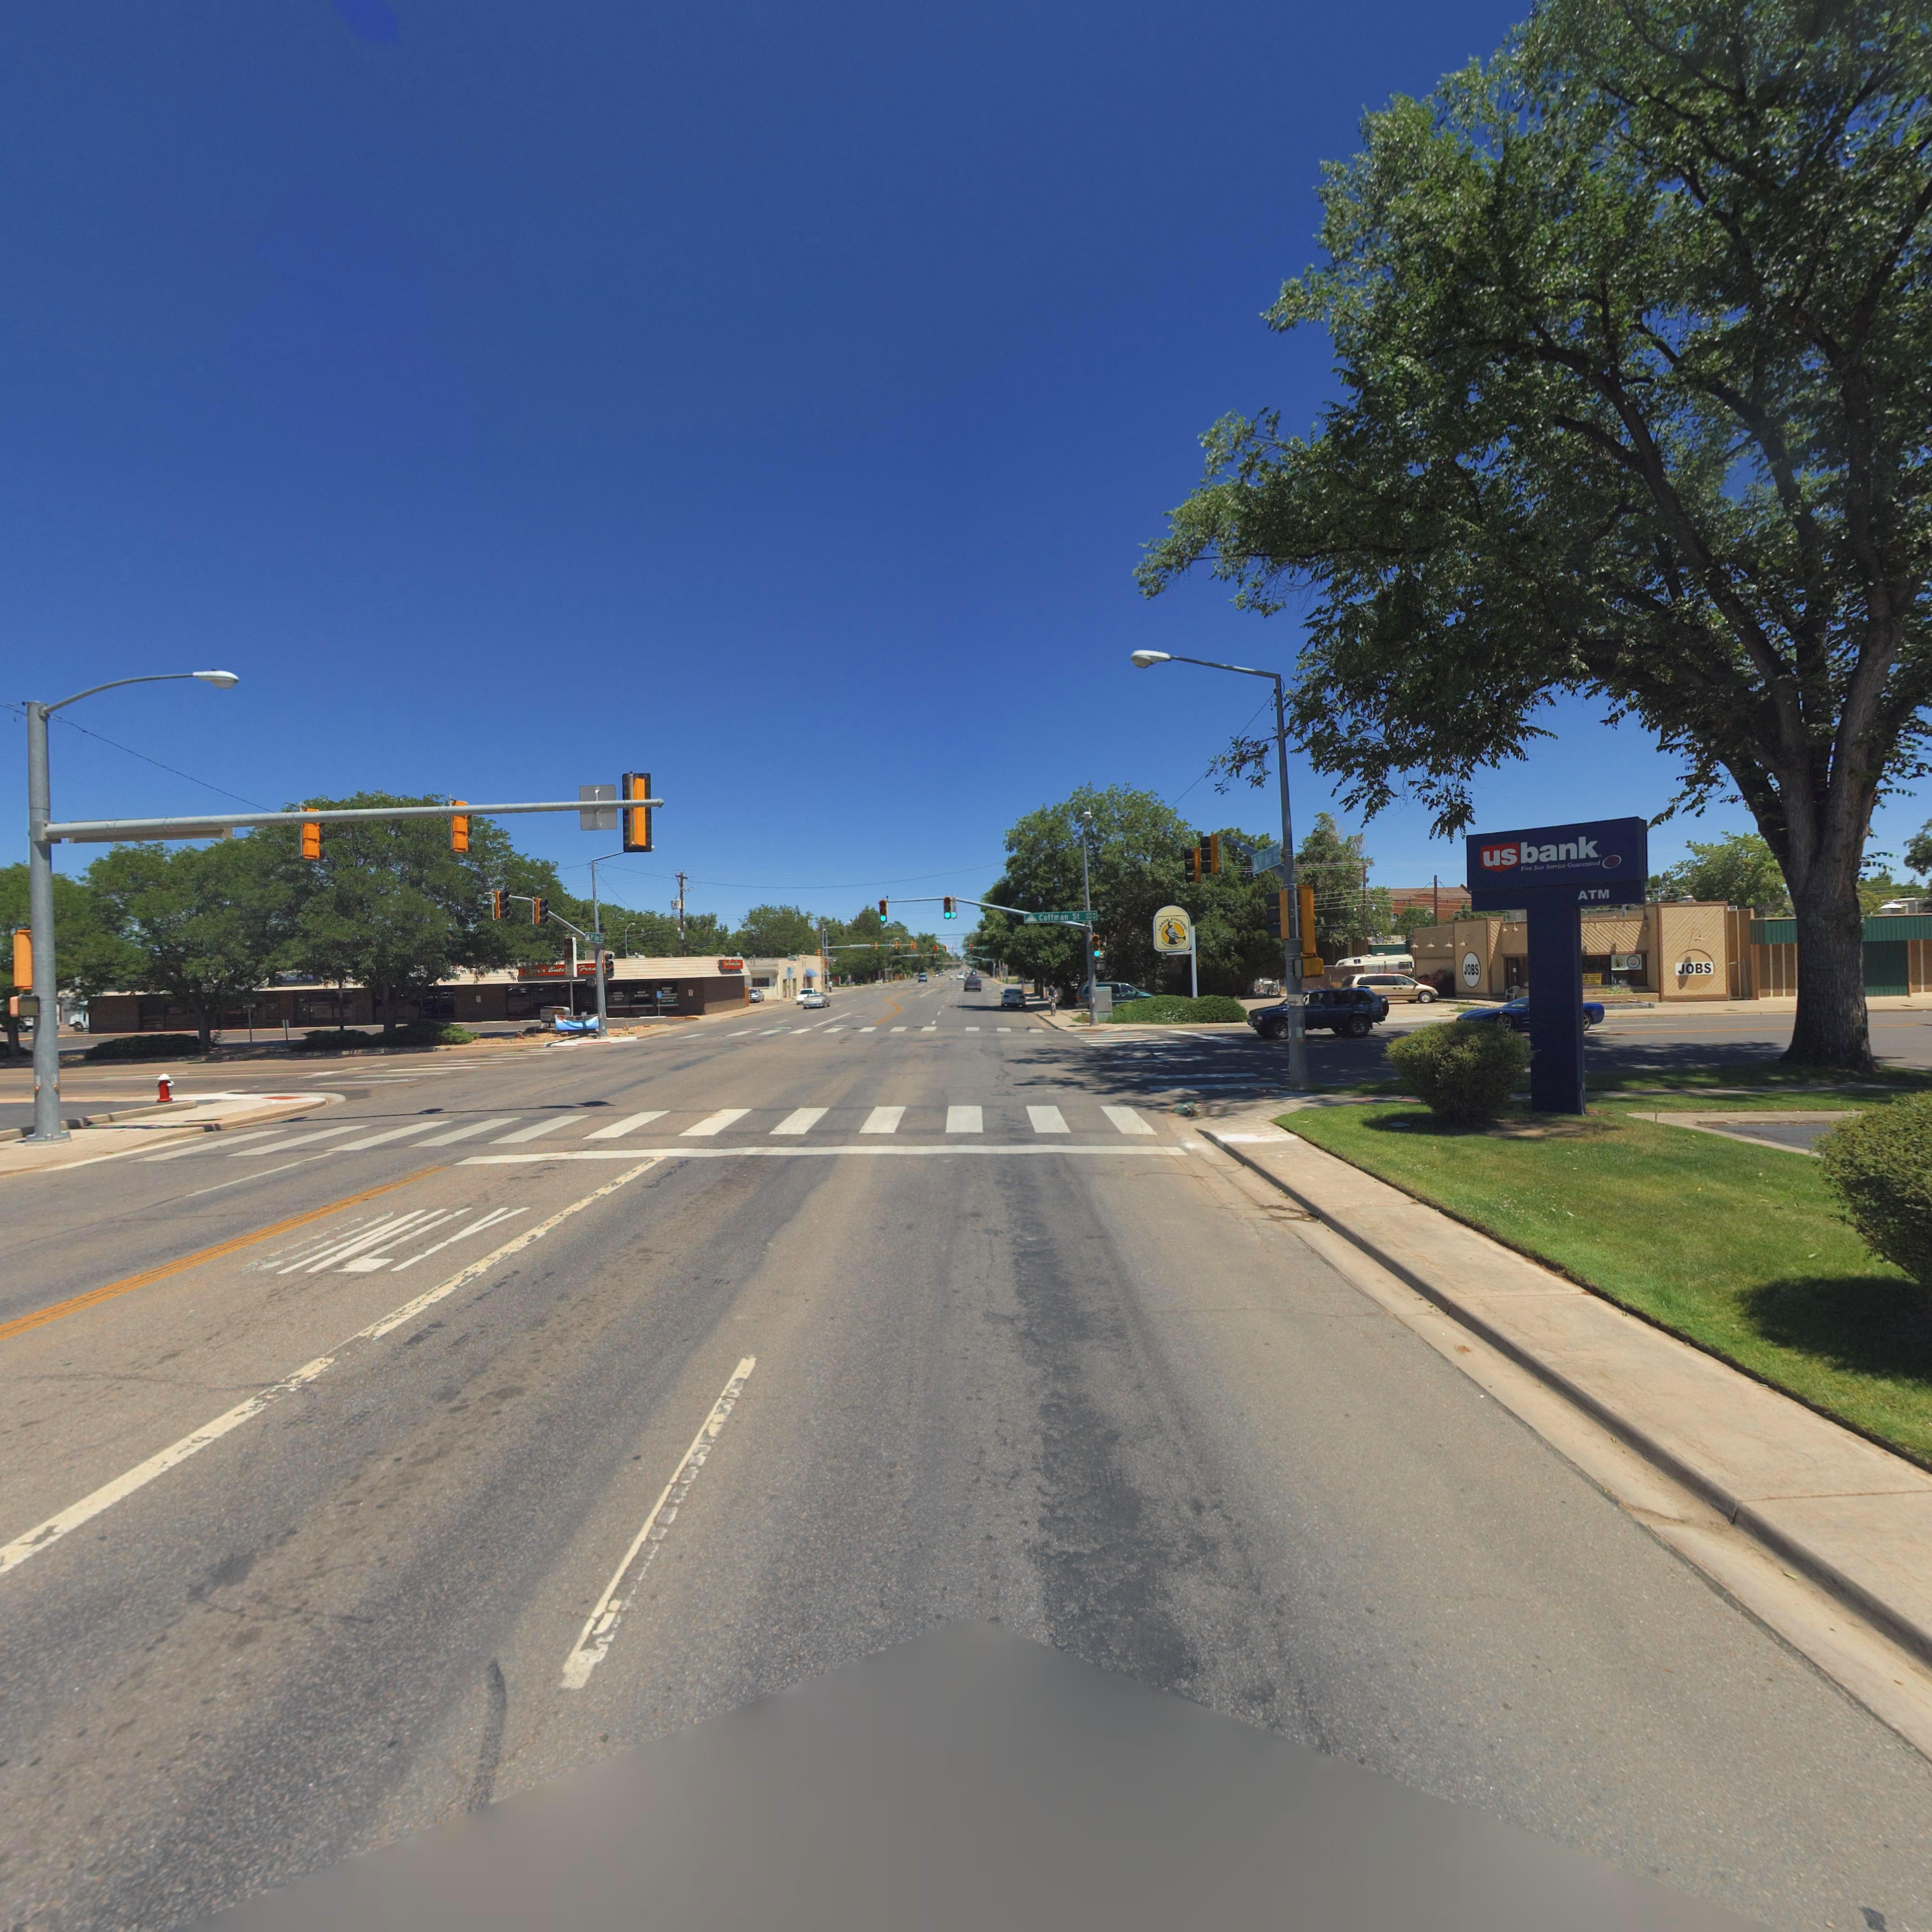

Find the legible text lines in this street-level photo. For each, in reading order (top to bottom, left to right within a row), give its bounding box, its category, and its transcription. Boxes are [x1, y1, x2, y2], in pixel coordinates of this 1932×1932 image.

[1482, 835, 1600, 867] BusinessName: usbank
[1258, 852, 1273, 869] StreetName: 9th Ave
[1038, 912, 1080, 921] StreetName: Coffman St
[1085, 912, 1092, 916] StreetNumberRange: 600
[1085, 916, 1096, 919] StreetNumberRange: 800->
[1157, 917, 1188, 930] BusinessName: LABOR SYSTEMS
[590, 934, 599, 941] StreetName: 9** Ave
[528, 965, 599, 975] BusinessName: *** Butc*** F**